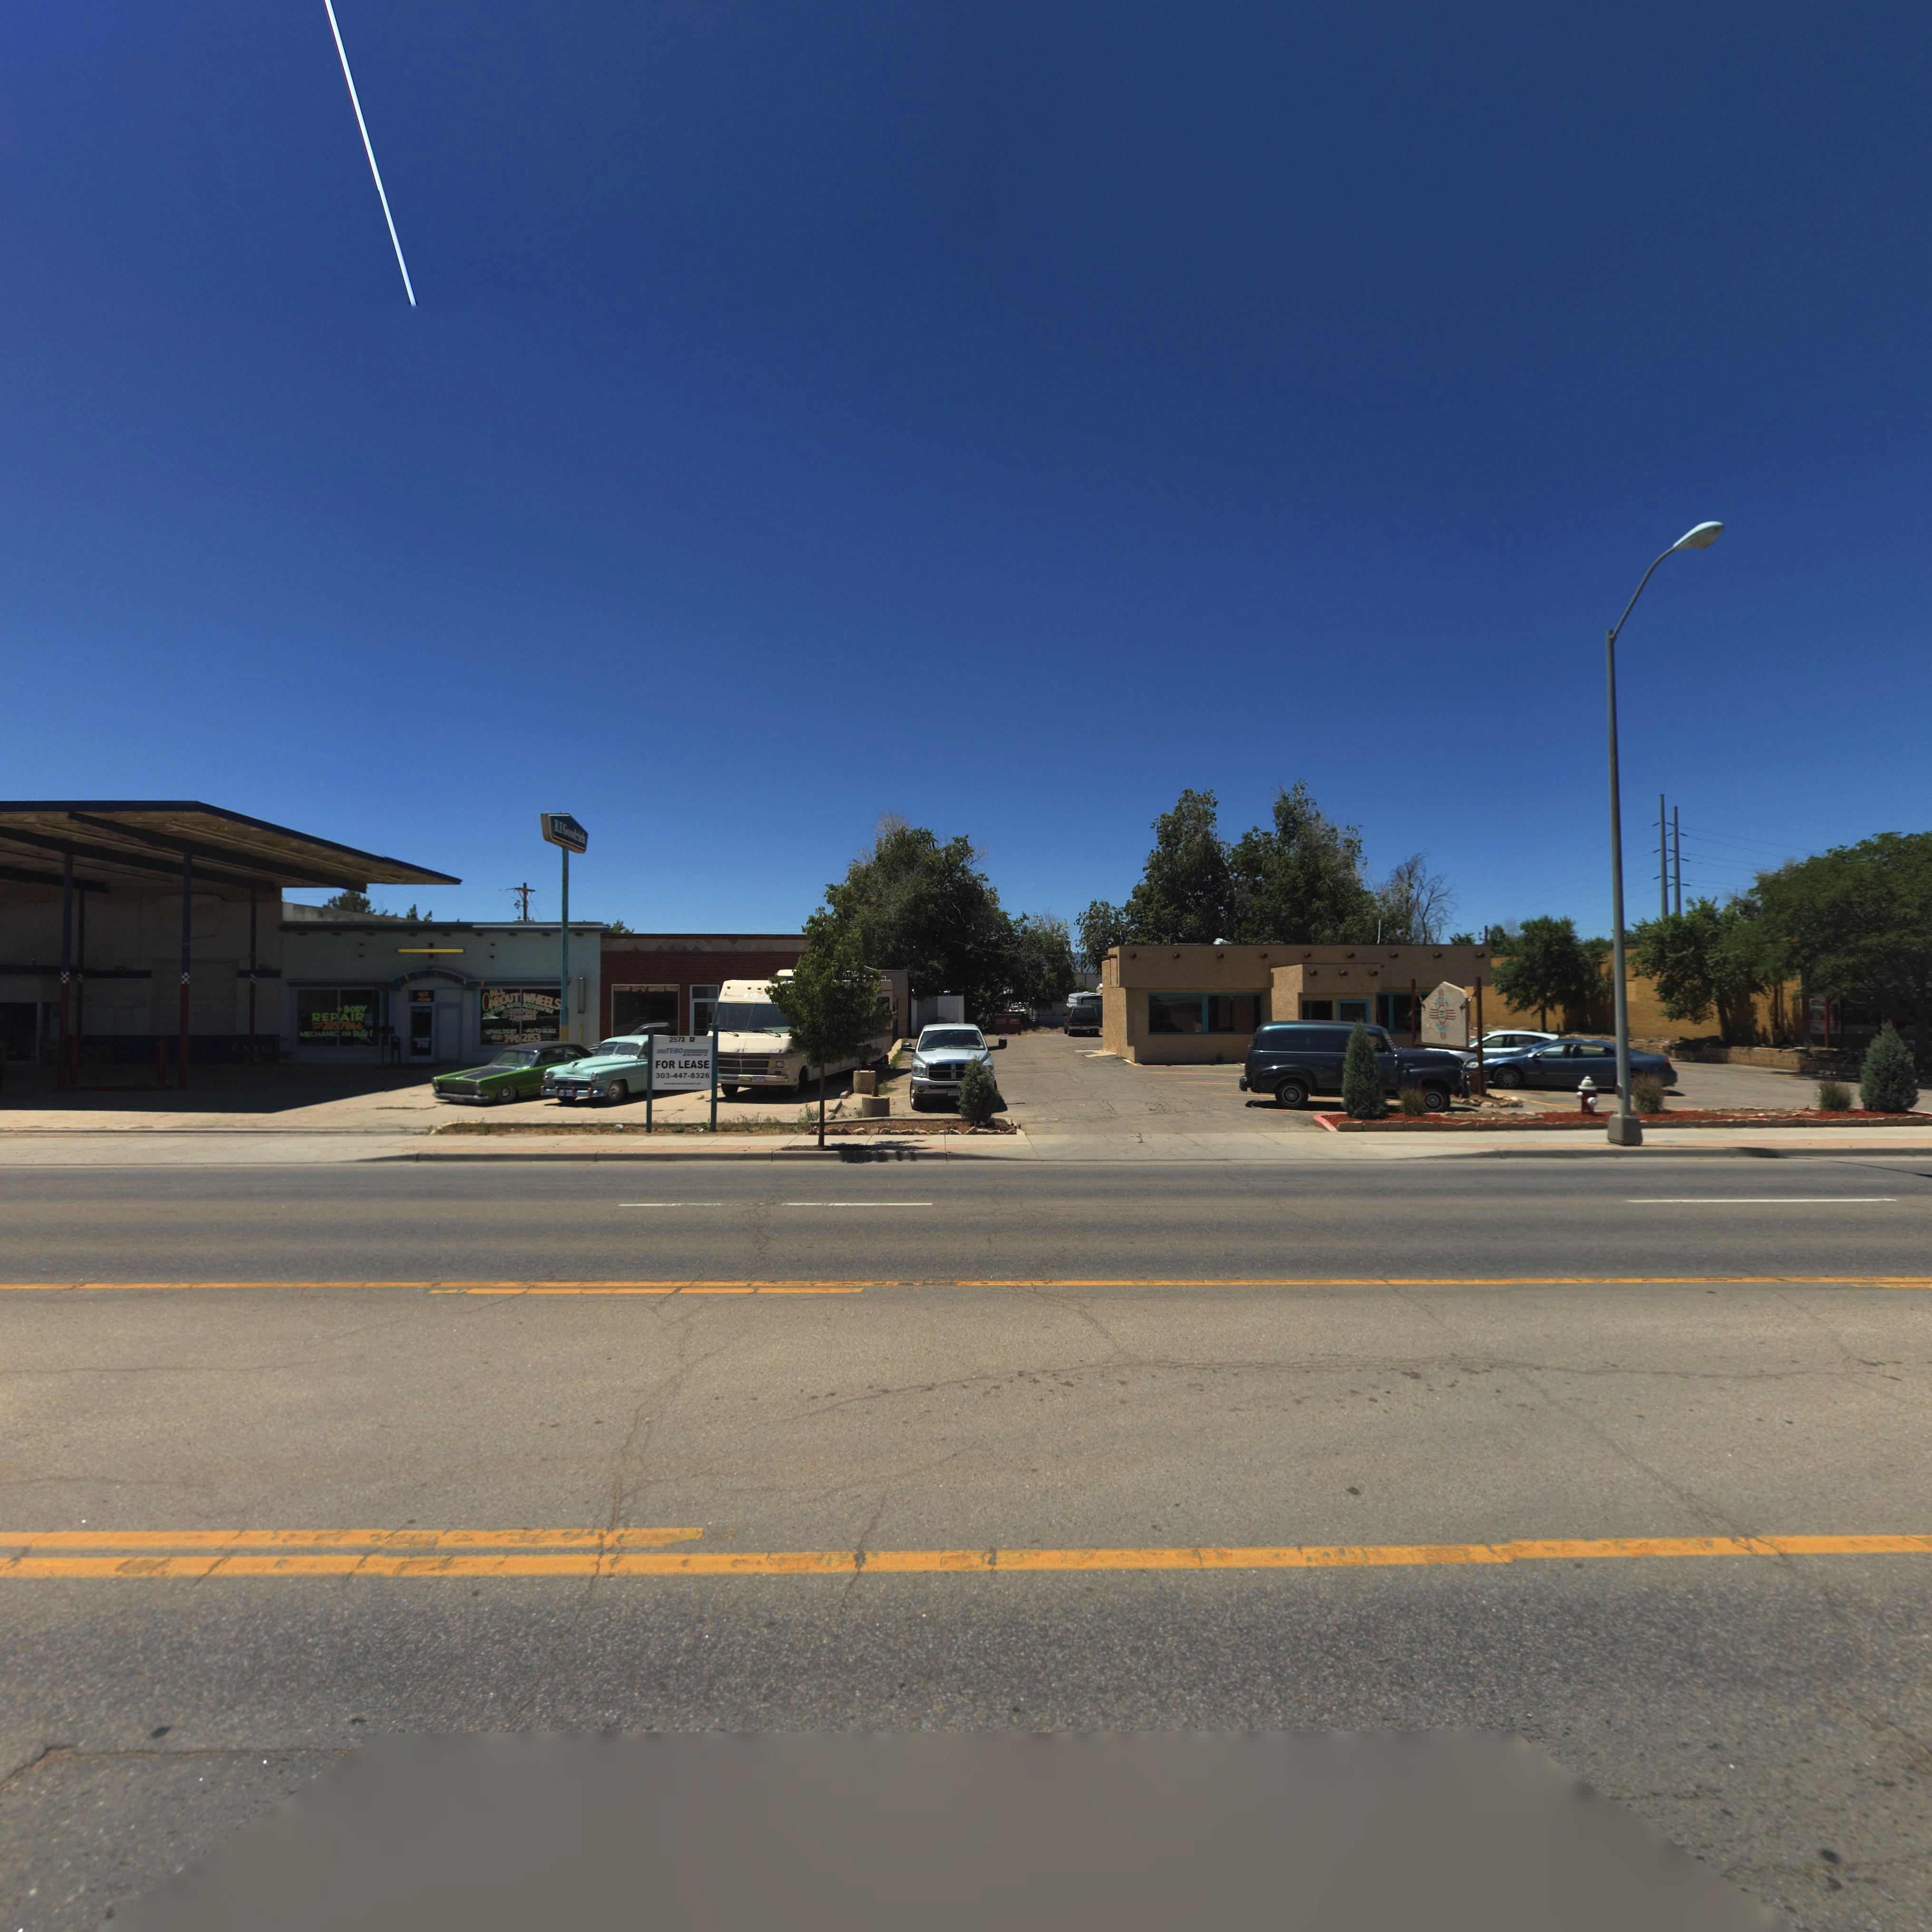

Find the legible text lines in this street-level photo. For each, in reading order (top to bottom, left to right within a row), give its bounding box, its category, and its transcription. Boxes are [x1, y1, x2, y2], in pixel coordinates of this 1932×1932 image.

[554, 819, 586, 844] BusinessName: BF Goodrich
[417, 991, 425, 997] StreetNumber: 41
[424, 991, 429, 996] StreetName: s
[489, 988, 506, 998] BusinessName: ALL
[417, 997, 431, 1002] StreetName: M***
[489, 992, 561, 1010] BusinessName: ABOUT WHEELS